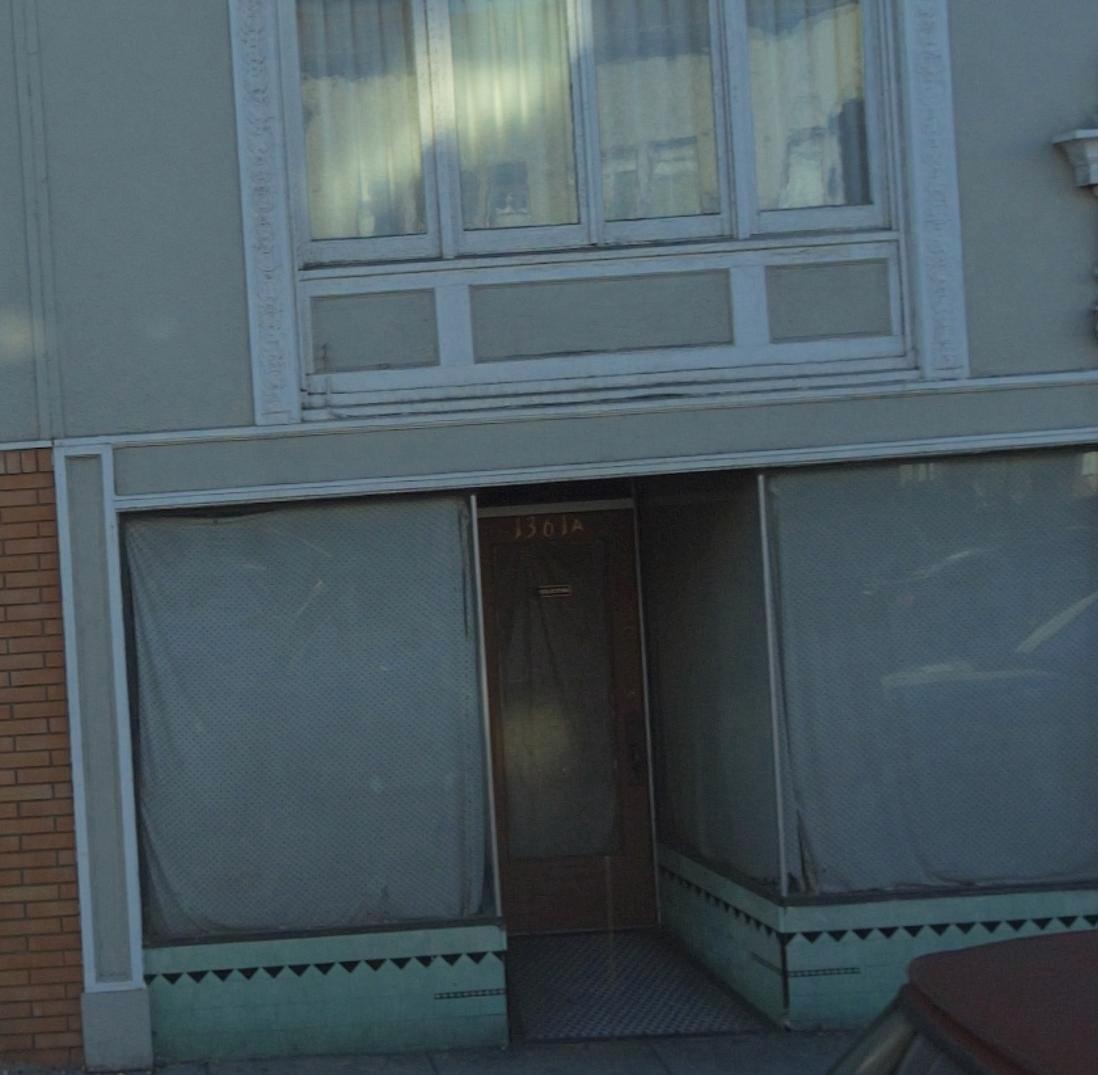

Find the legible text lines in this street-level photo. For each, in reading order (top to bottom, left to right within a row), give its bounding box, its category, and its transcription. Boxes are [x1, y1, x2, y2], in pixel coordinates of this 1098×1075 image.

[512, 511, 586, 541] StreetNumber: 1361A